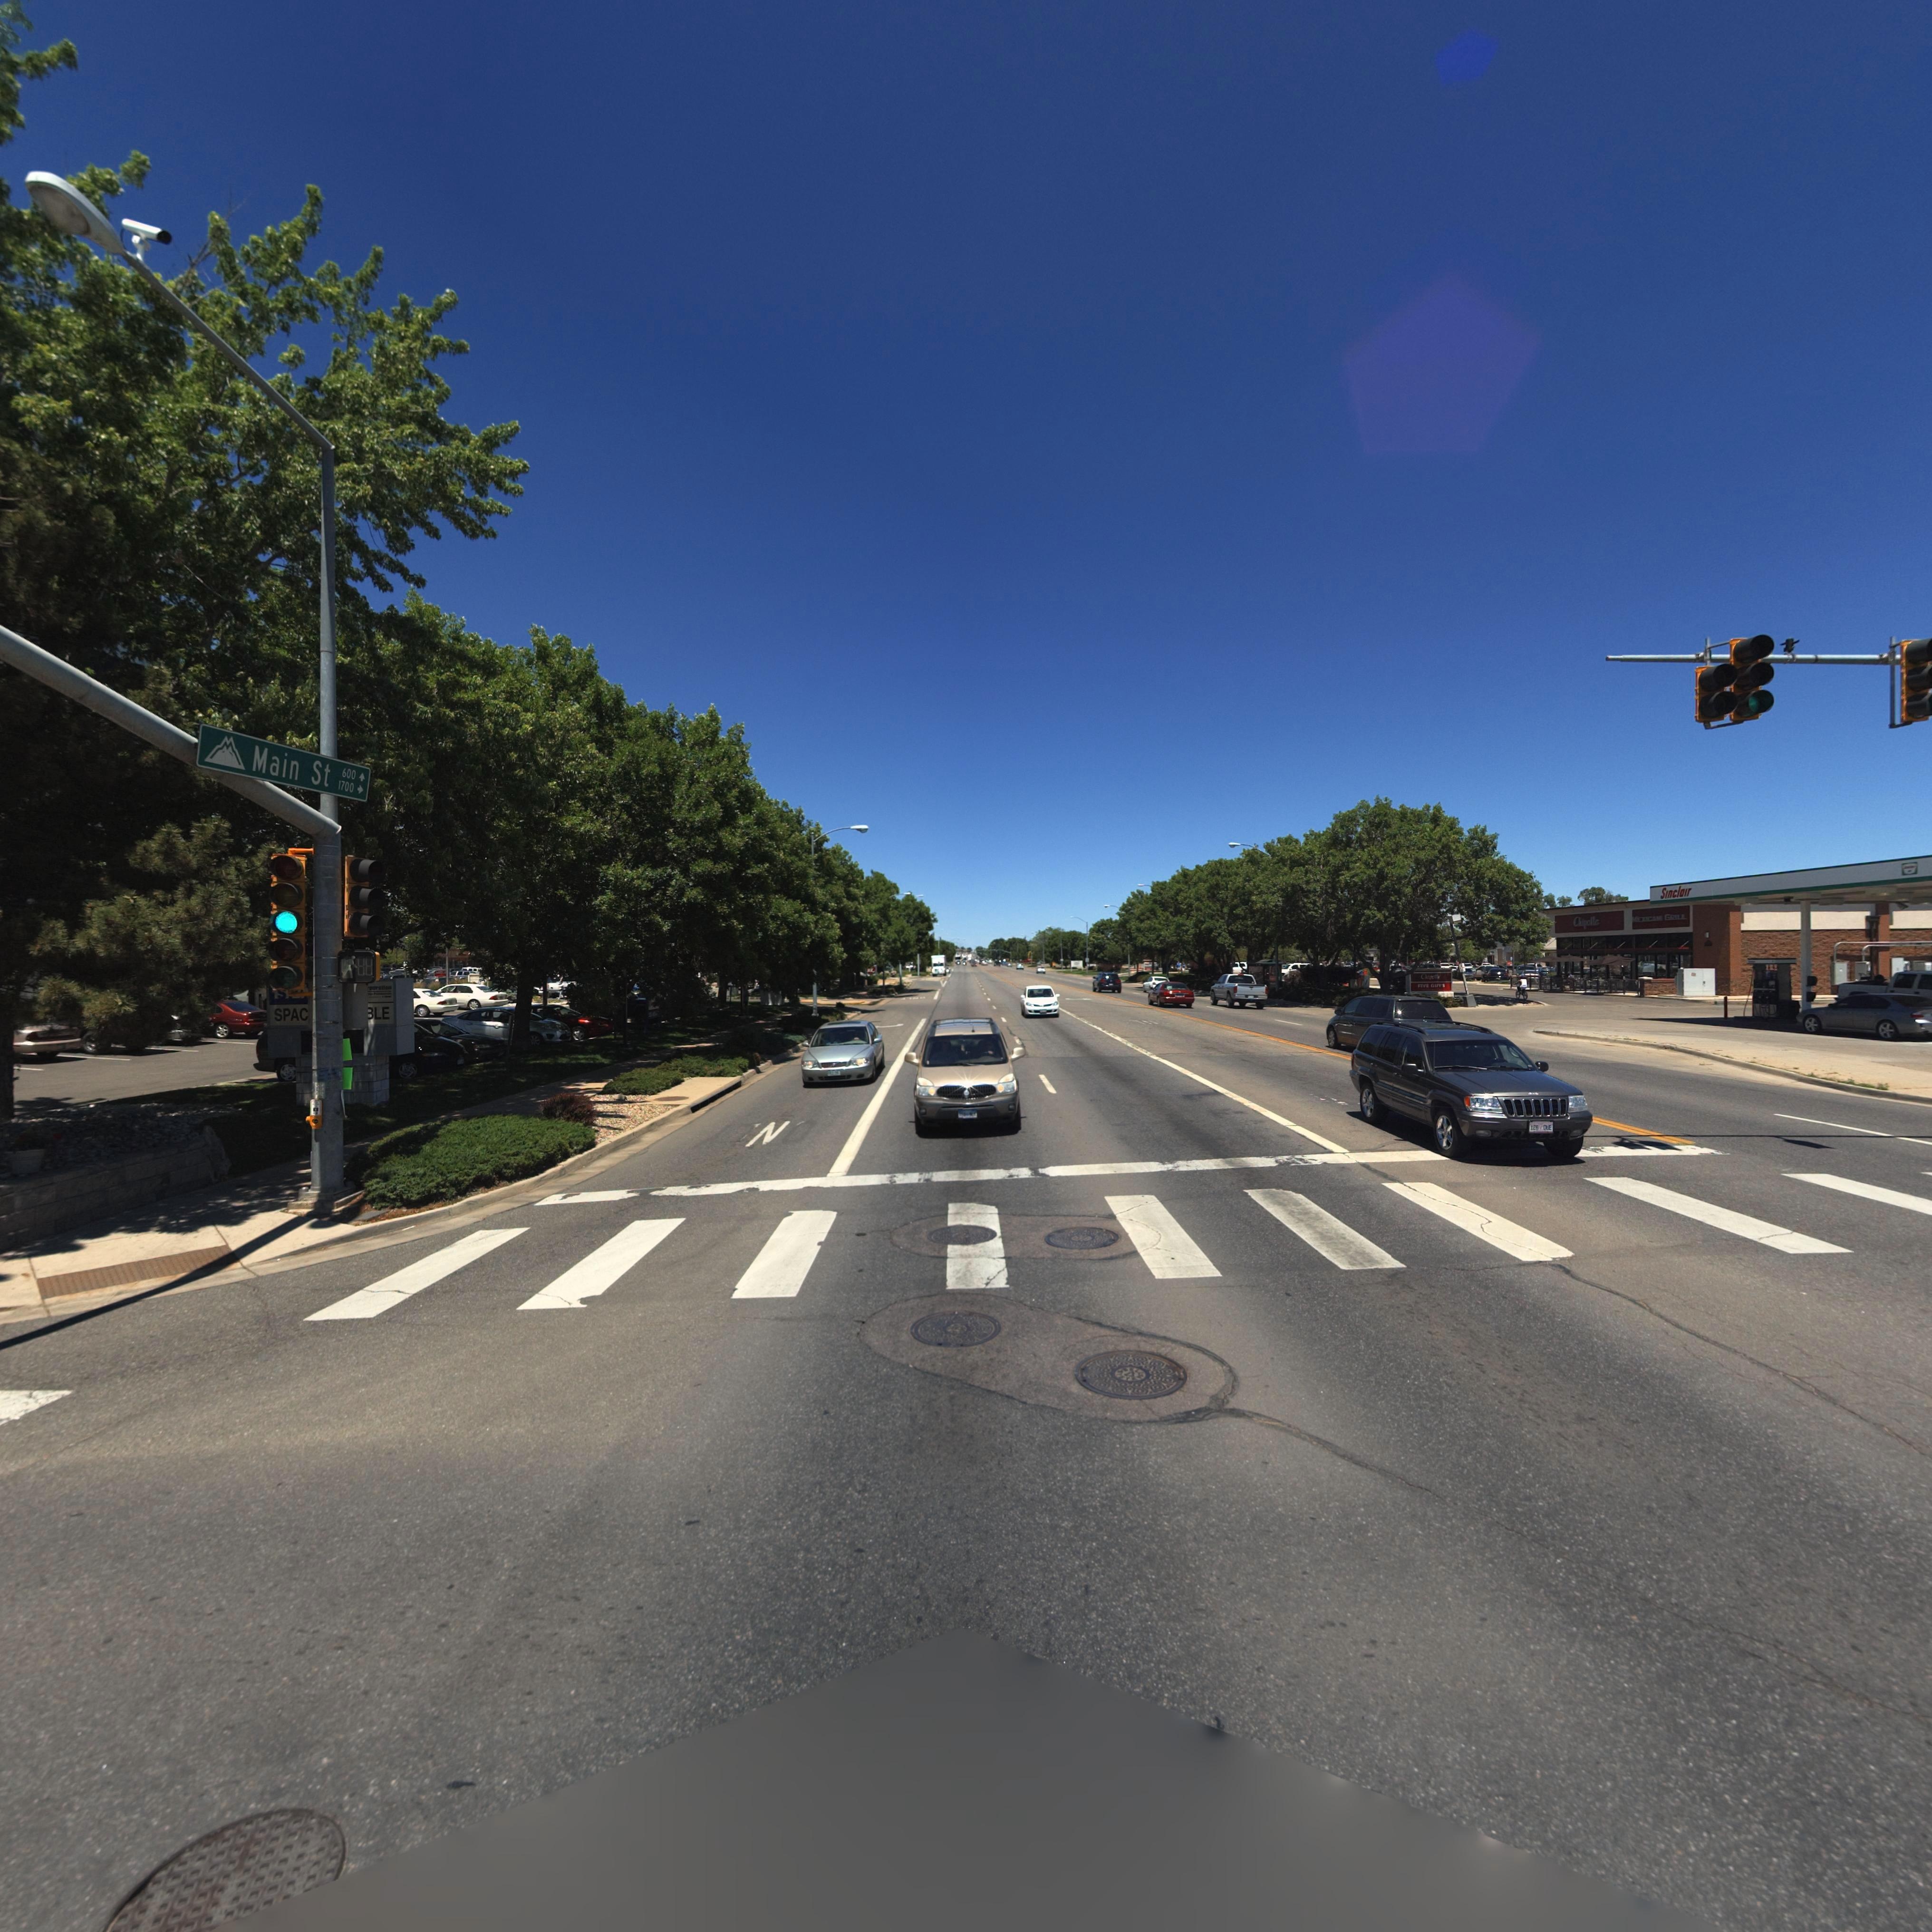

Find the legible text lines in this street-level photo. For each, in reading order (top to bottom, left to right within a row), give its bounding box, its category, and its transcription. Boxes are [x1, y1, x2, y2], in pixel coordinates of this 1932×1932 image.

[251, 744, 330, 787] StreetName: Main St
[341, 767, 356, 780] StreetNumberRange: 600
[338, 779, 364, 795] StreetNumberRange: 1700 ->
[1902, 865, 1916, 869] BusinessName: S*******
[1660, 885, 1692, 899] BusinessName: Sinclair
[1572, 916, 1599, 929] BusinessName: Chipotle
[866, 966, 875, 973] BusinessName: **ck
[1420, 973, 1440, 980] BusinessName: Chipotle
[271, 985, 309, 999] BusinessName: 1S* **
[368, 985, 392, 991] BusinessName: *poration
[1417, 983, 1445, 988] BusinessName: FIVE GUYS